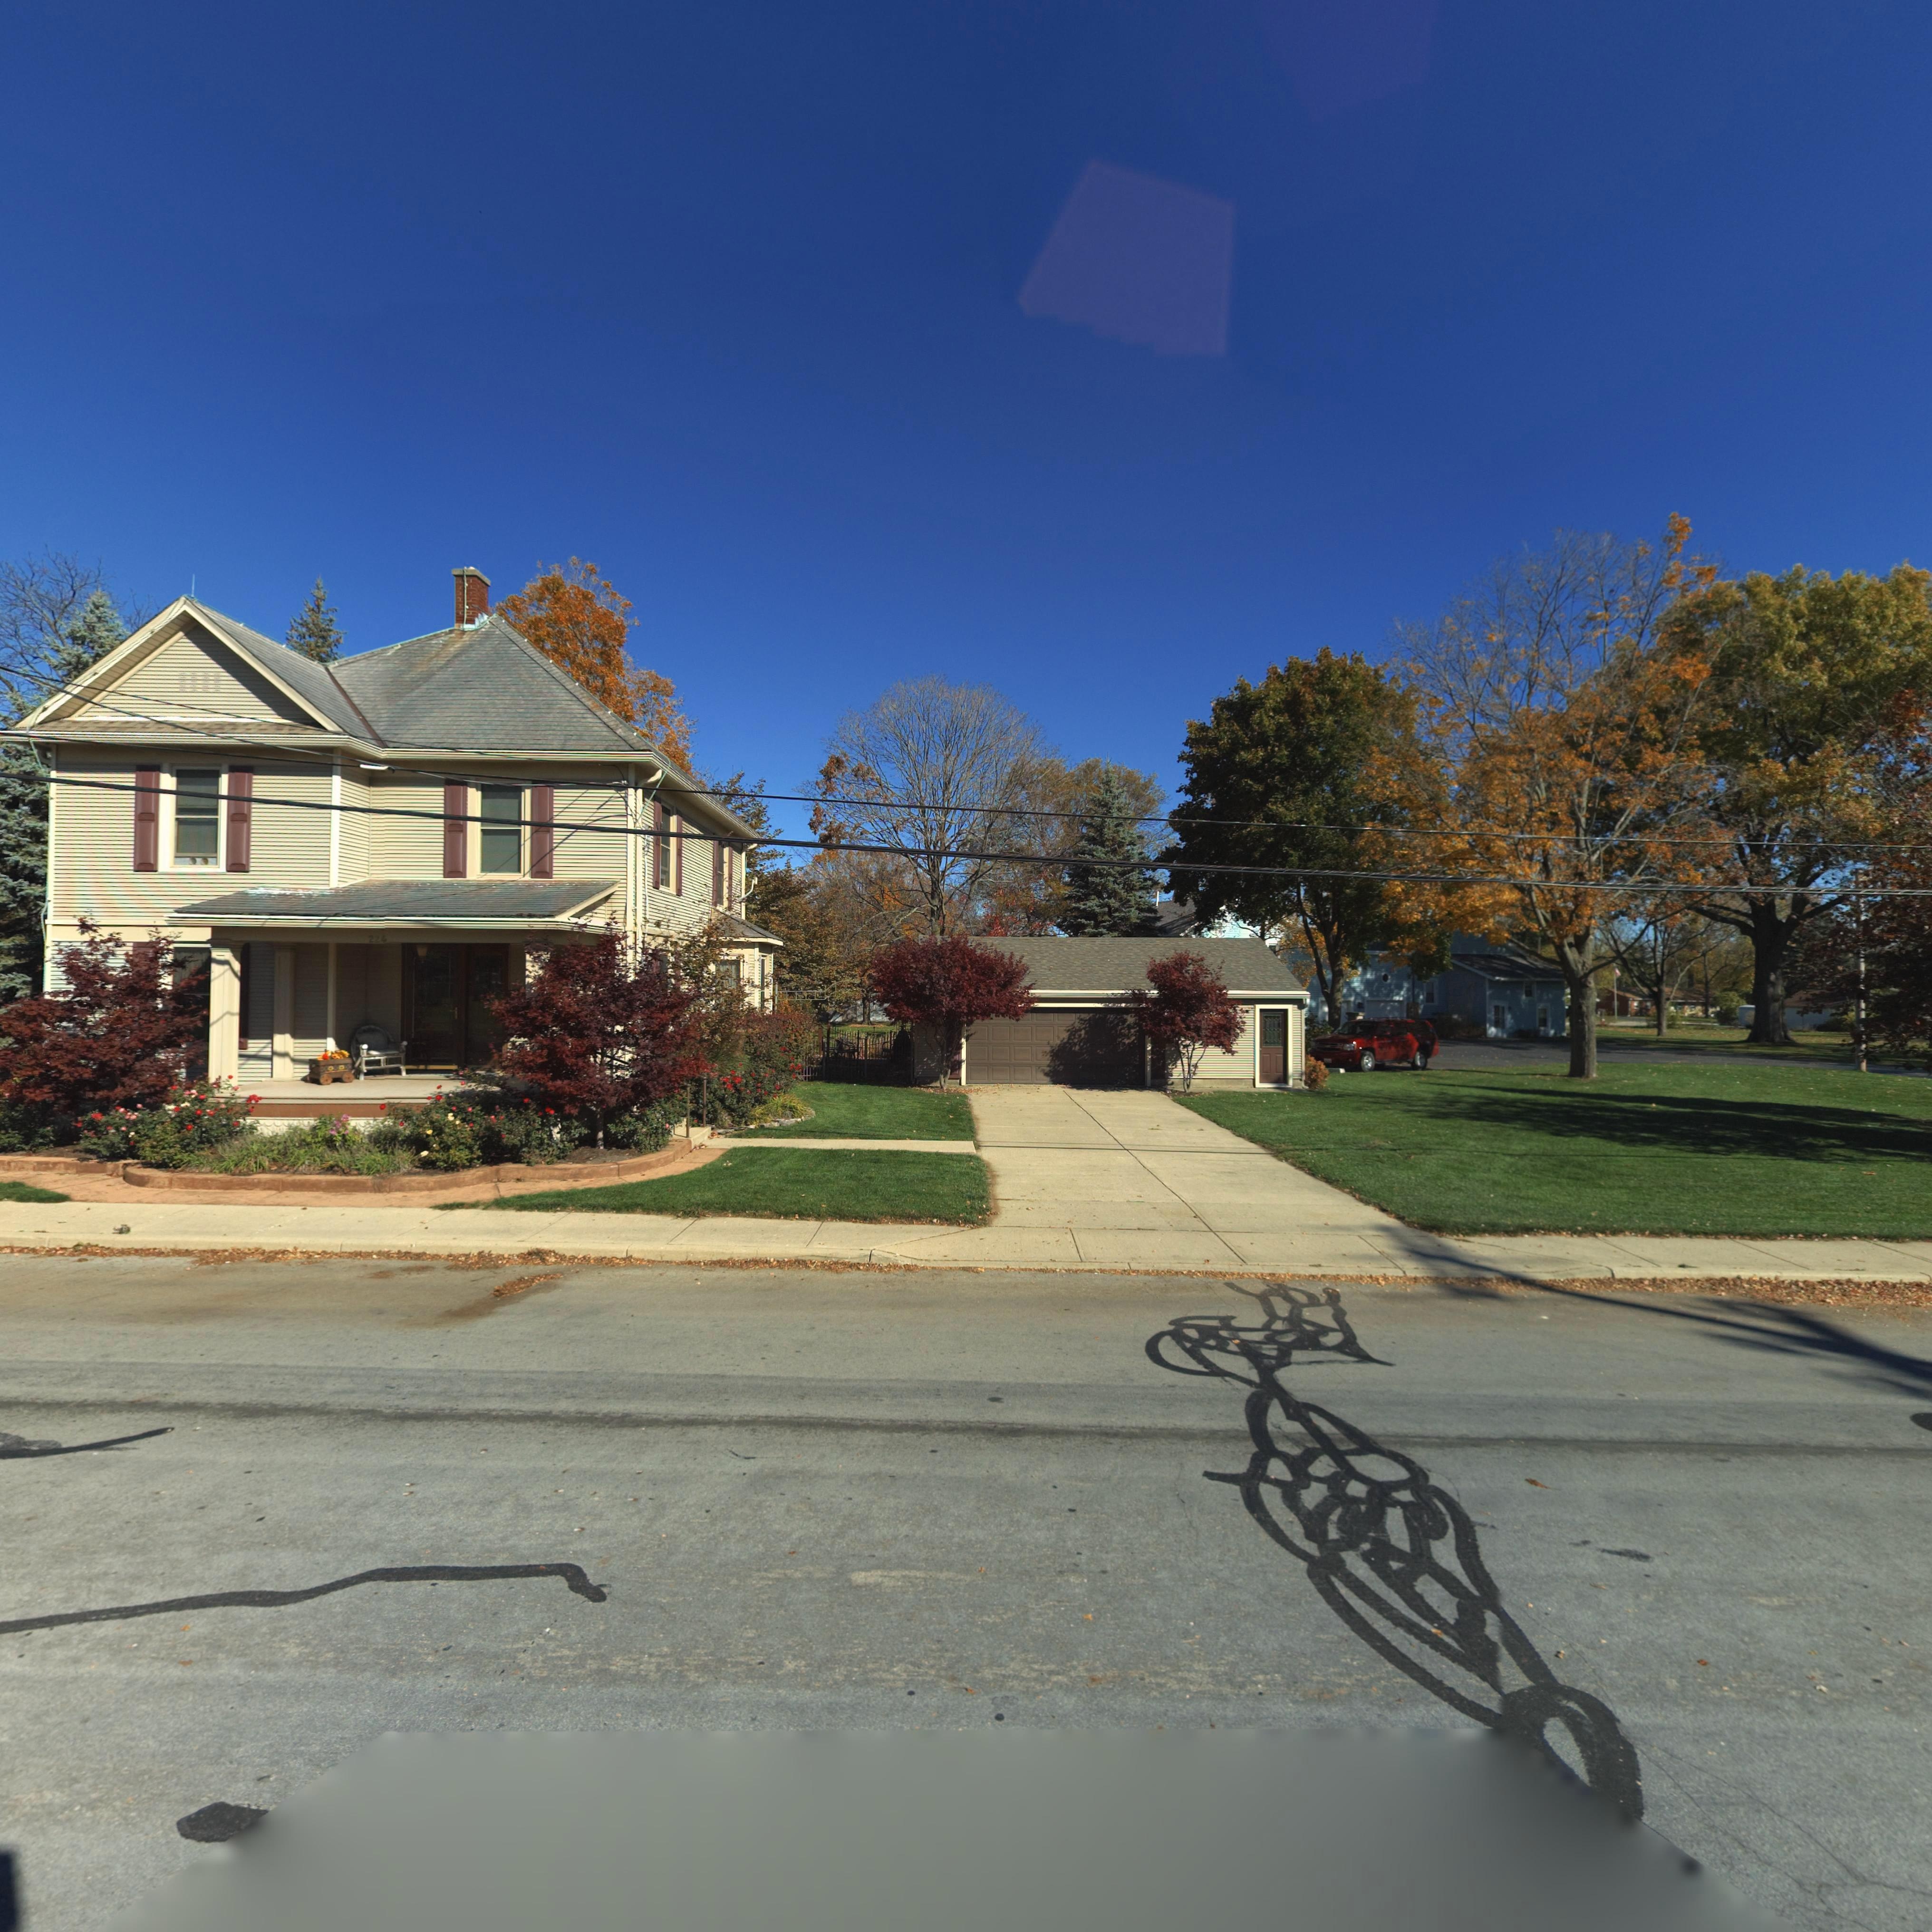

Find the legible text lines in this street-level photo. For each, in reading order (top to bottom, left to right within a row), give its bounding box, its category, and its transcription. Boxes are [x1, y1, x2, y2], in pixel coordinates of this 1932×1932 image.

[367, 934, 388, 943] StreetNumber: 224